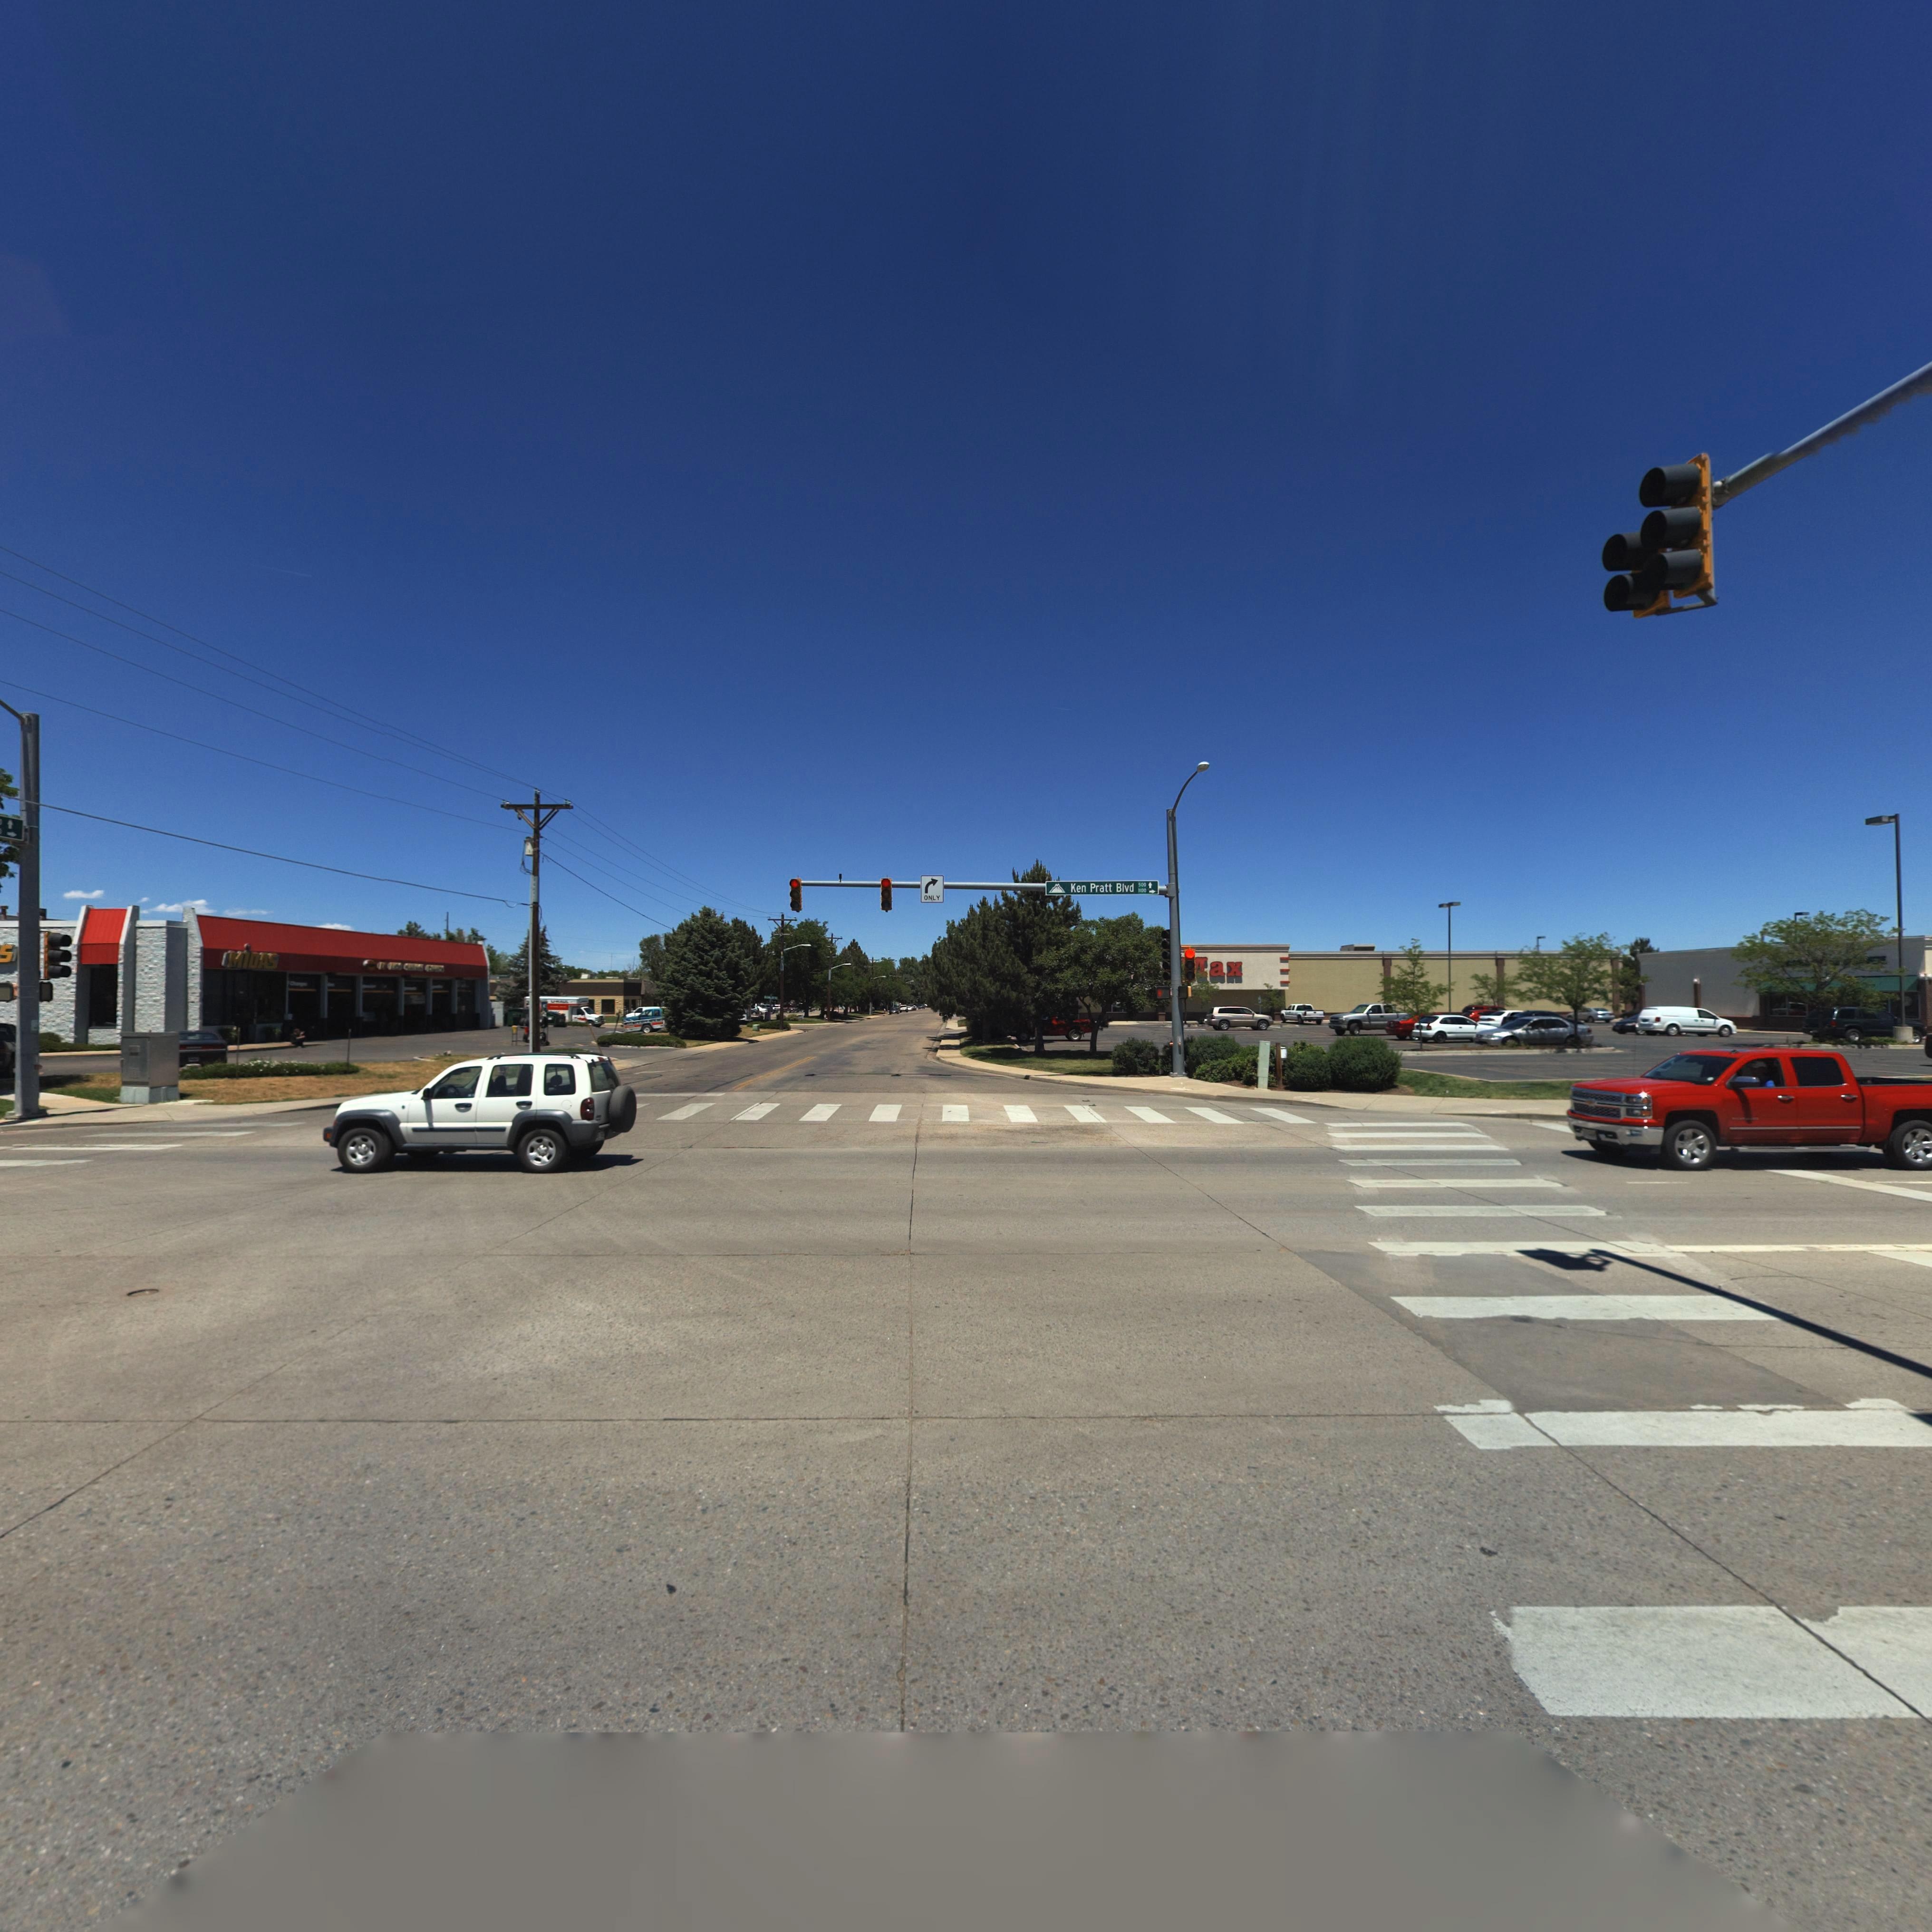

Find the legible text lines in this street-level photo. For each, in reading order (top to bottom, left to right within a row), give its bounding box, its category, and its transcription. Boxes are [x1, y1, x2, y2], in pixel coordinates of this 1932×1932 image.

[1070, 882, 1134, 893] StreetName: Ken Pratt Blvd
[1138, 882, 1146, 887] StreetNumberRange: 500
[1138, 888, 1156, 894] StreetNumberRange: 1*00->
[0, 944, 15, 963] BusinessName: S
[226, 942, 279, 969] BusinessName: MiDAS
[1179, 956, 1243, 977] BusinessName: *ax